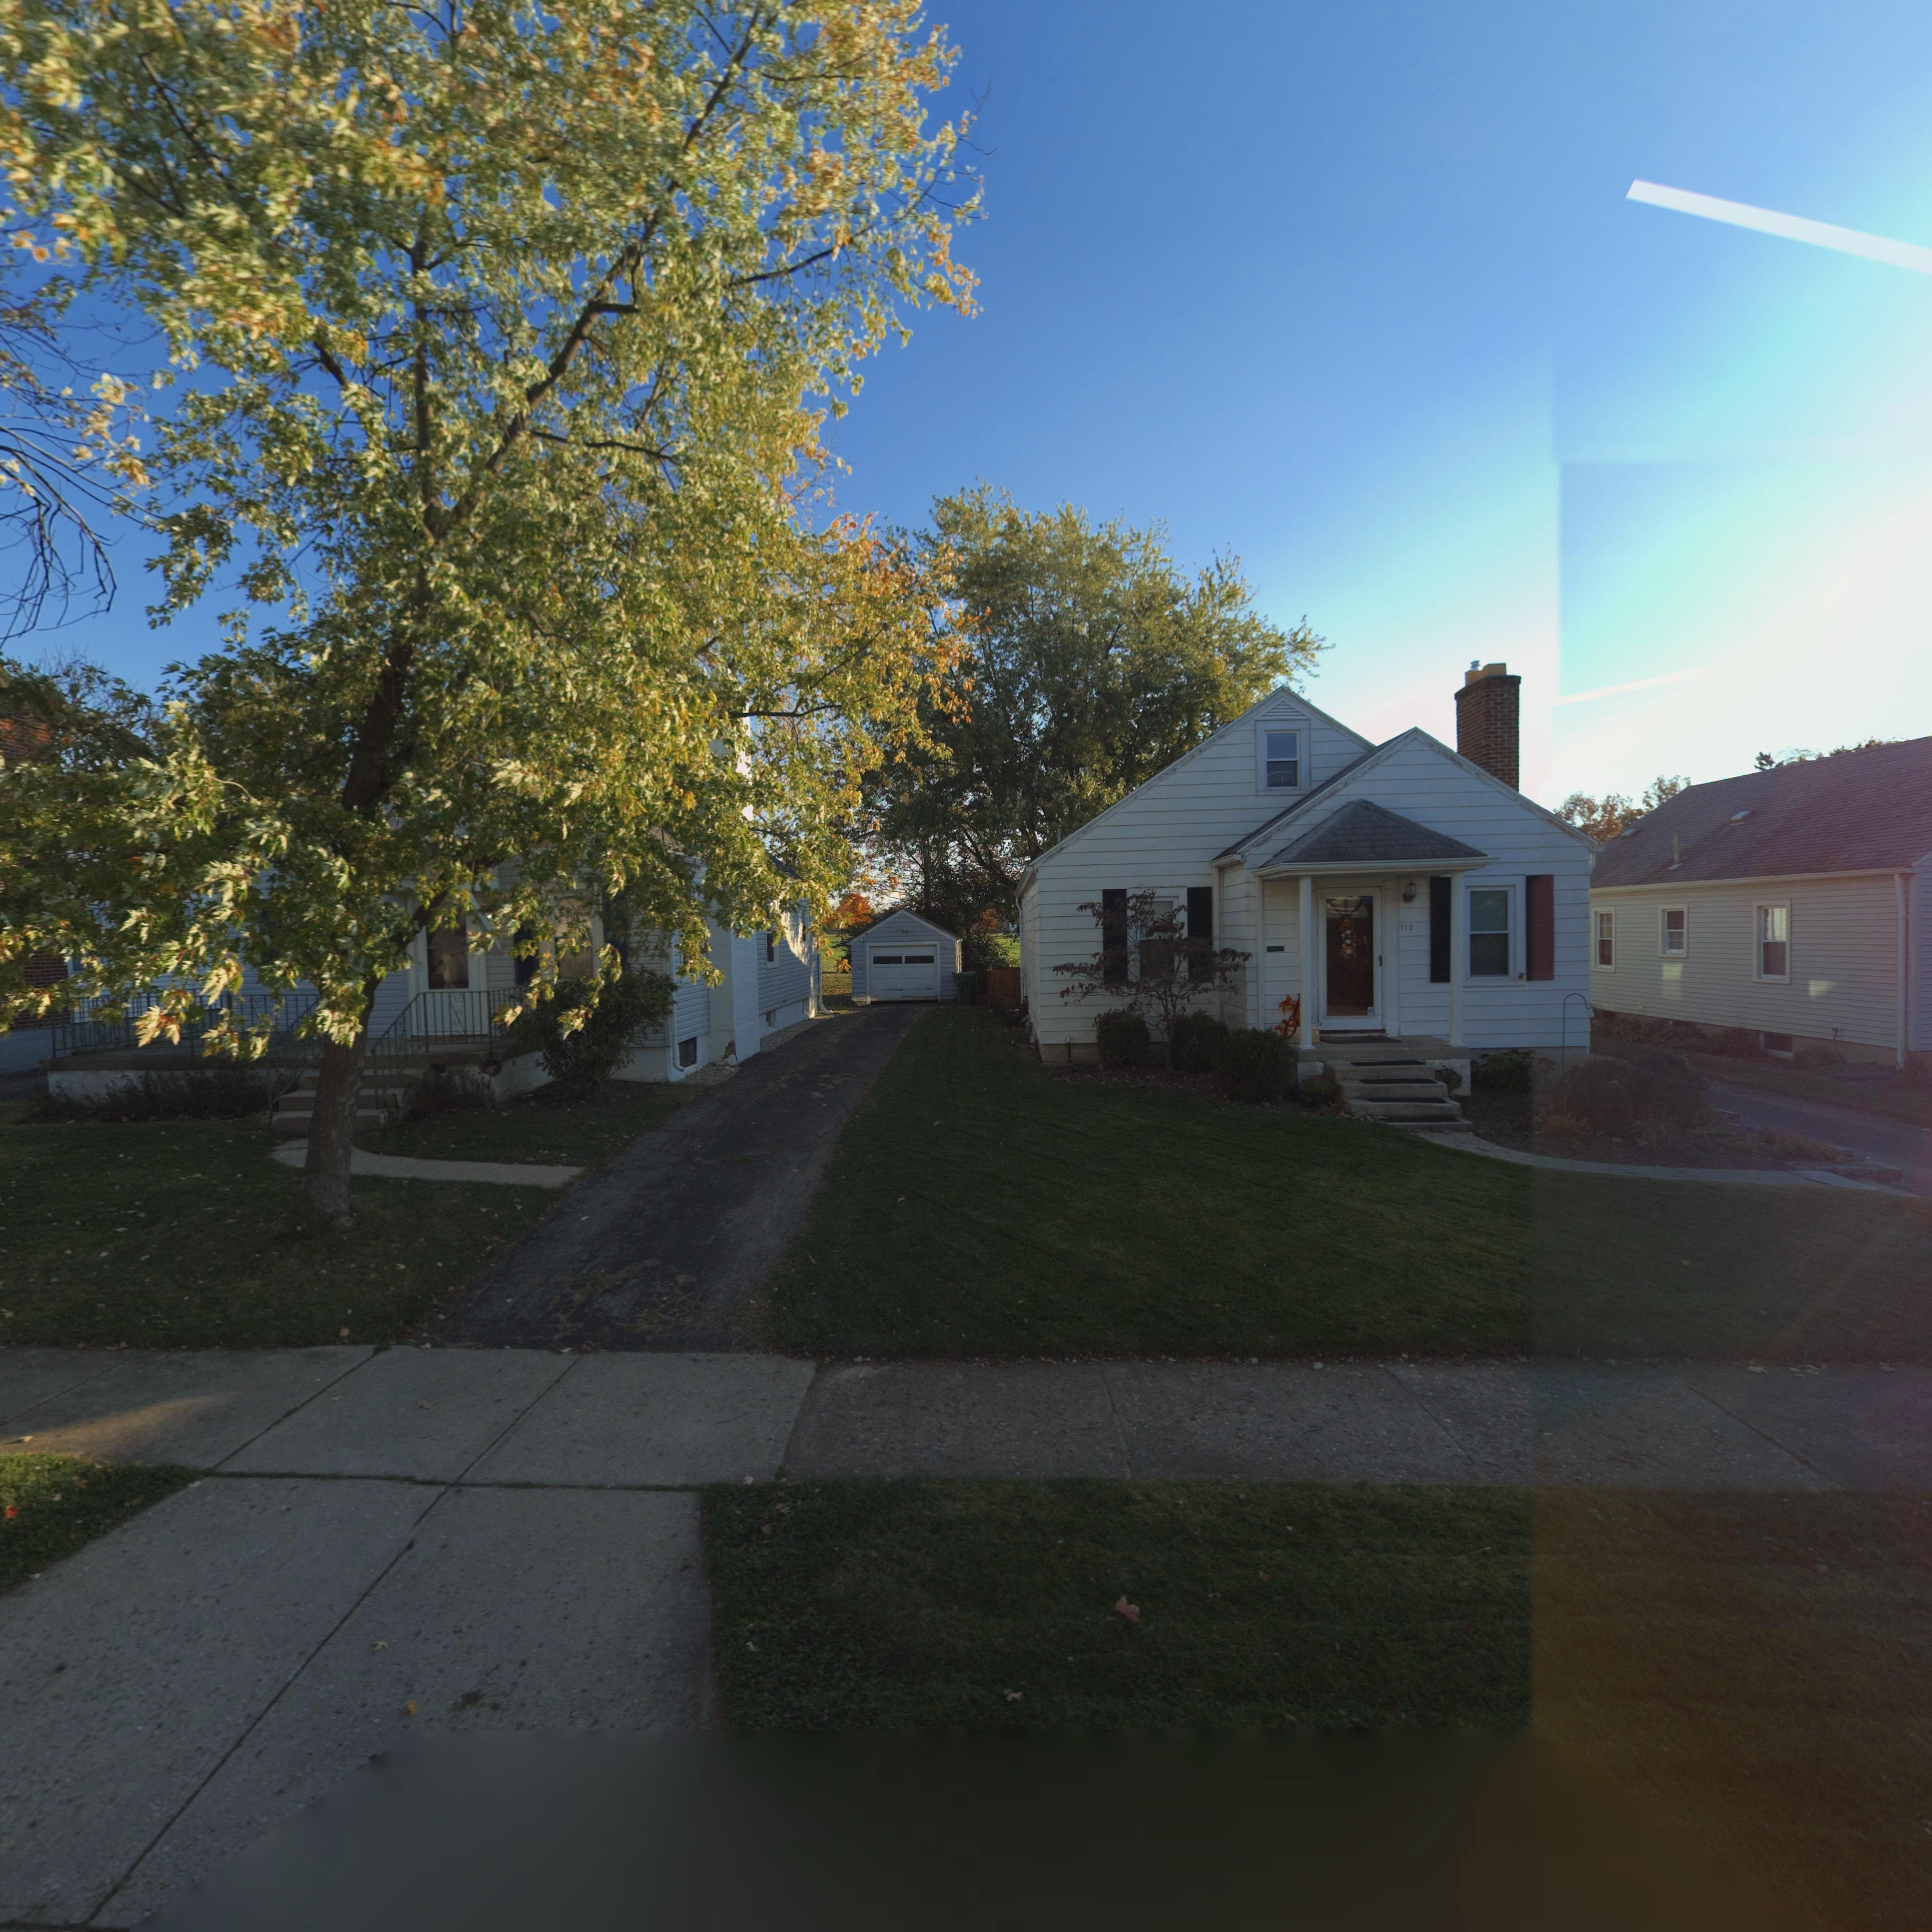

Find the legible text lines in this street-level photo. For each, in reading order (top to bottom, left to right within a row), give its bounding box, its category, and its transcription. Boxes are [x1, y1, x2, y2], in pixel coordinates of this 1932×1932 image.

[1401, 924, 1414, 931] StreetNumber: 112